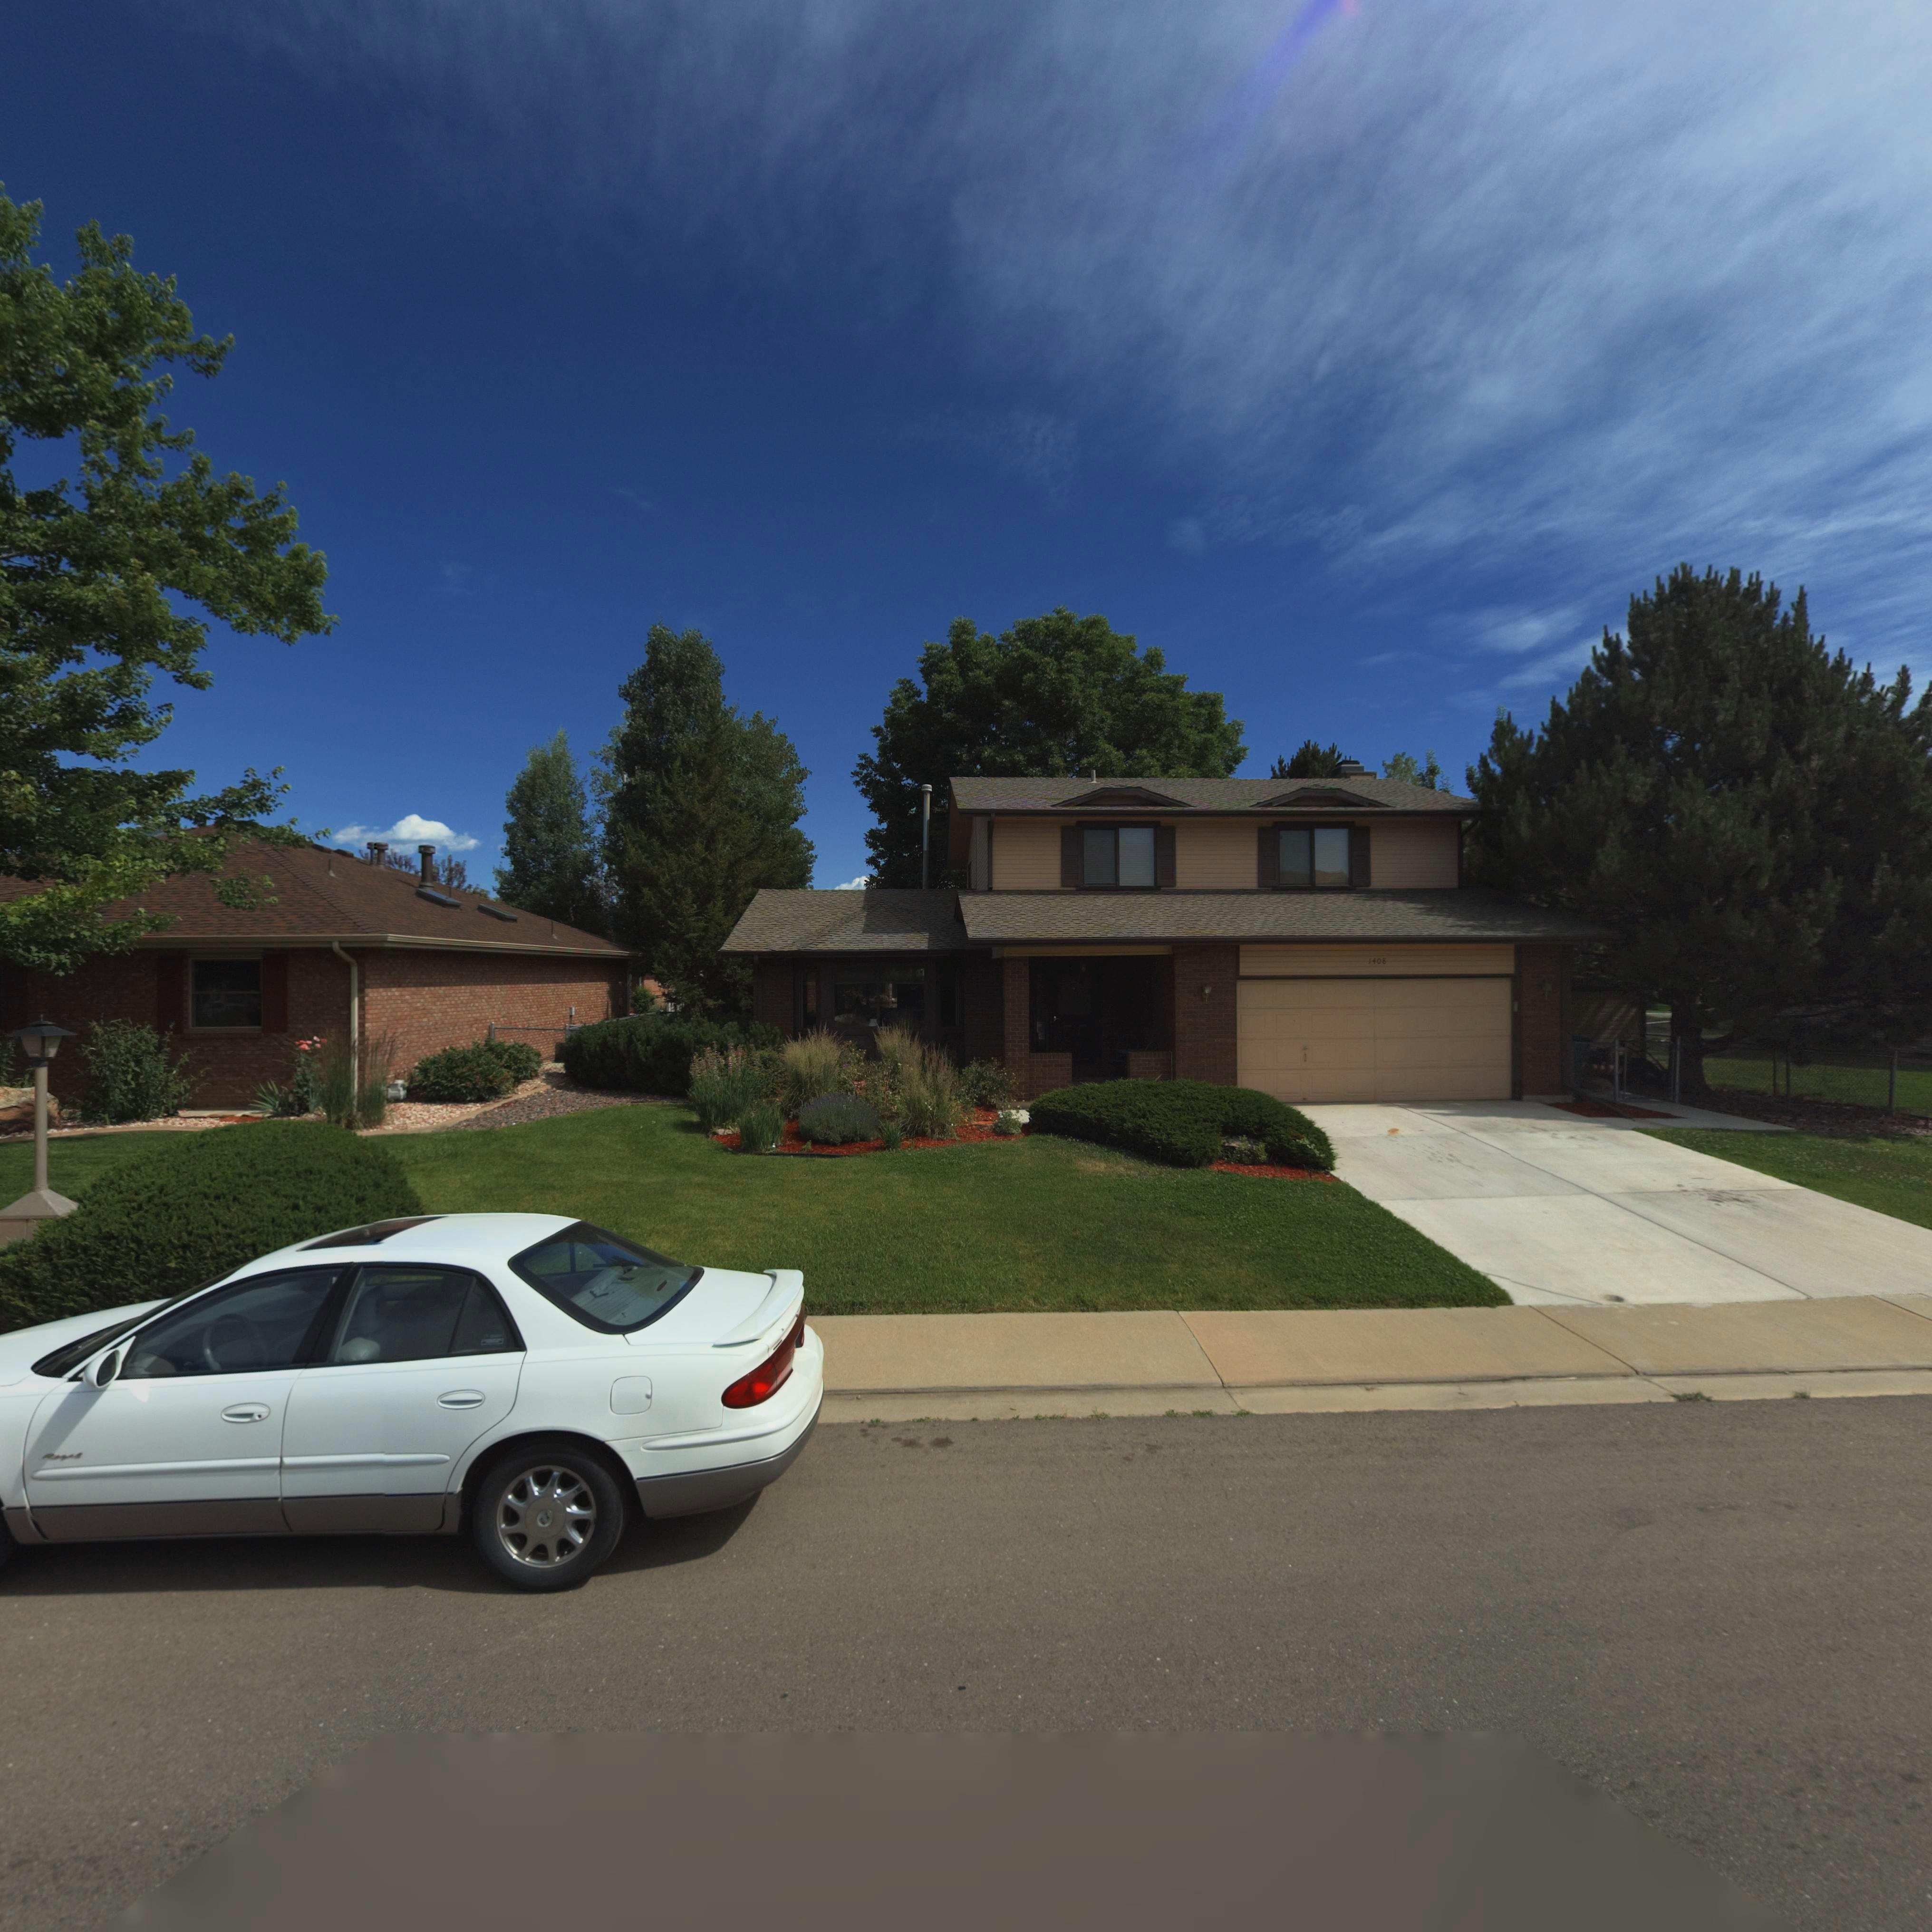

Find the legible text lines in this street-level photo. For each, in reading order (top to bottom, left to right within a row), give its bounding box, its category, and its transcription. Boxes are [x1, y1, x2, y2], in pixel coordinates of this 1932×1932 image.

[1368, 957, 1386, 965] StreetNumber: 1408